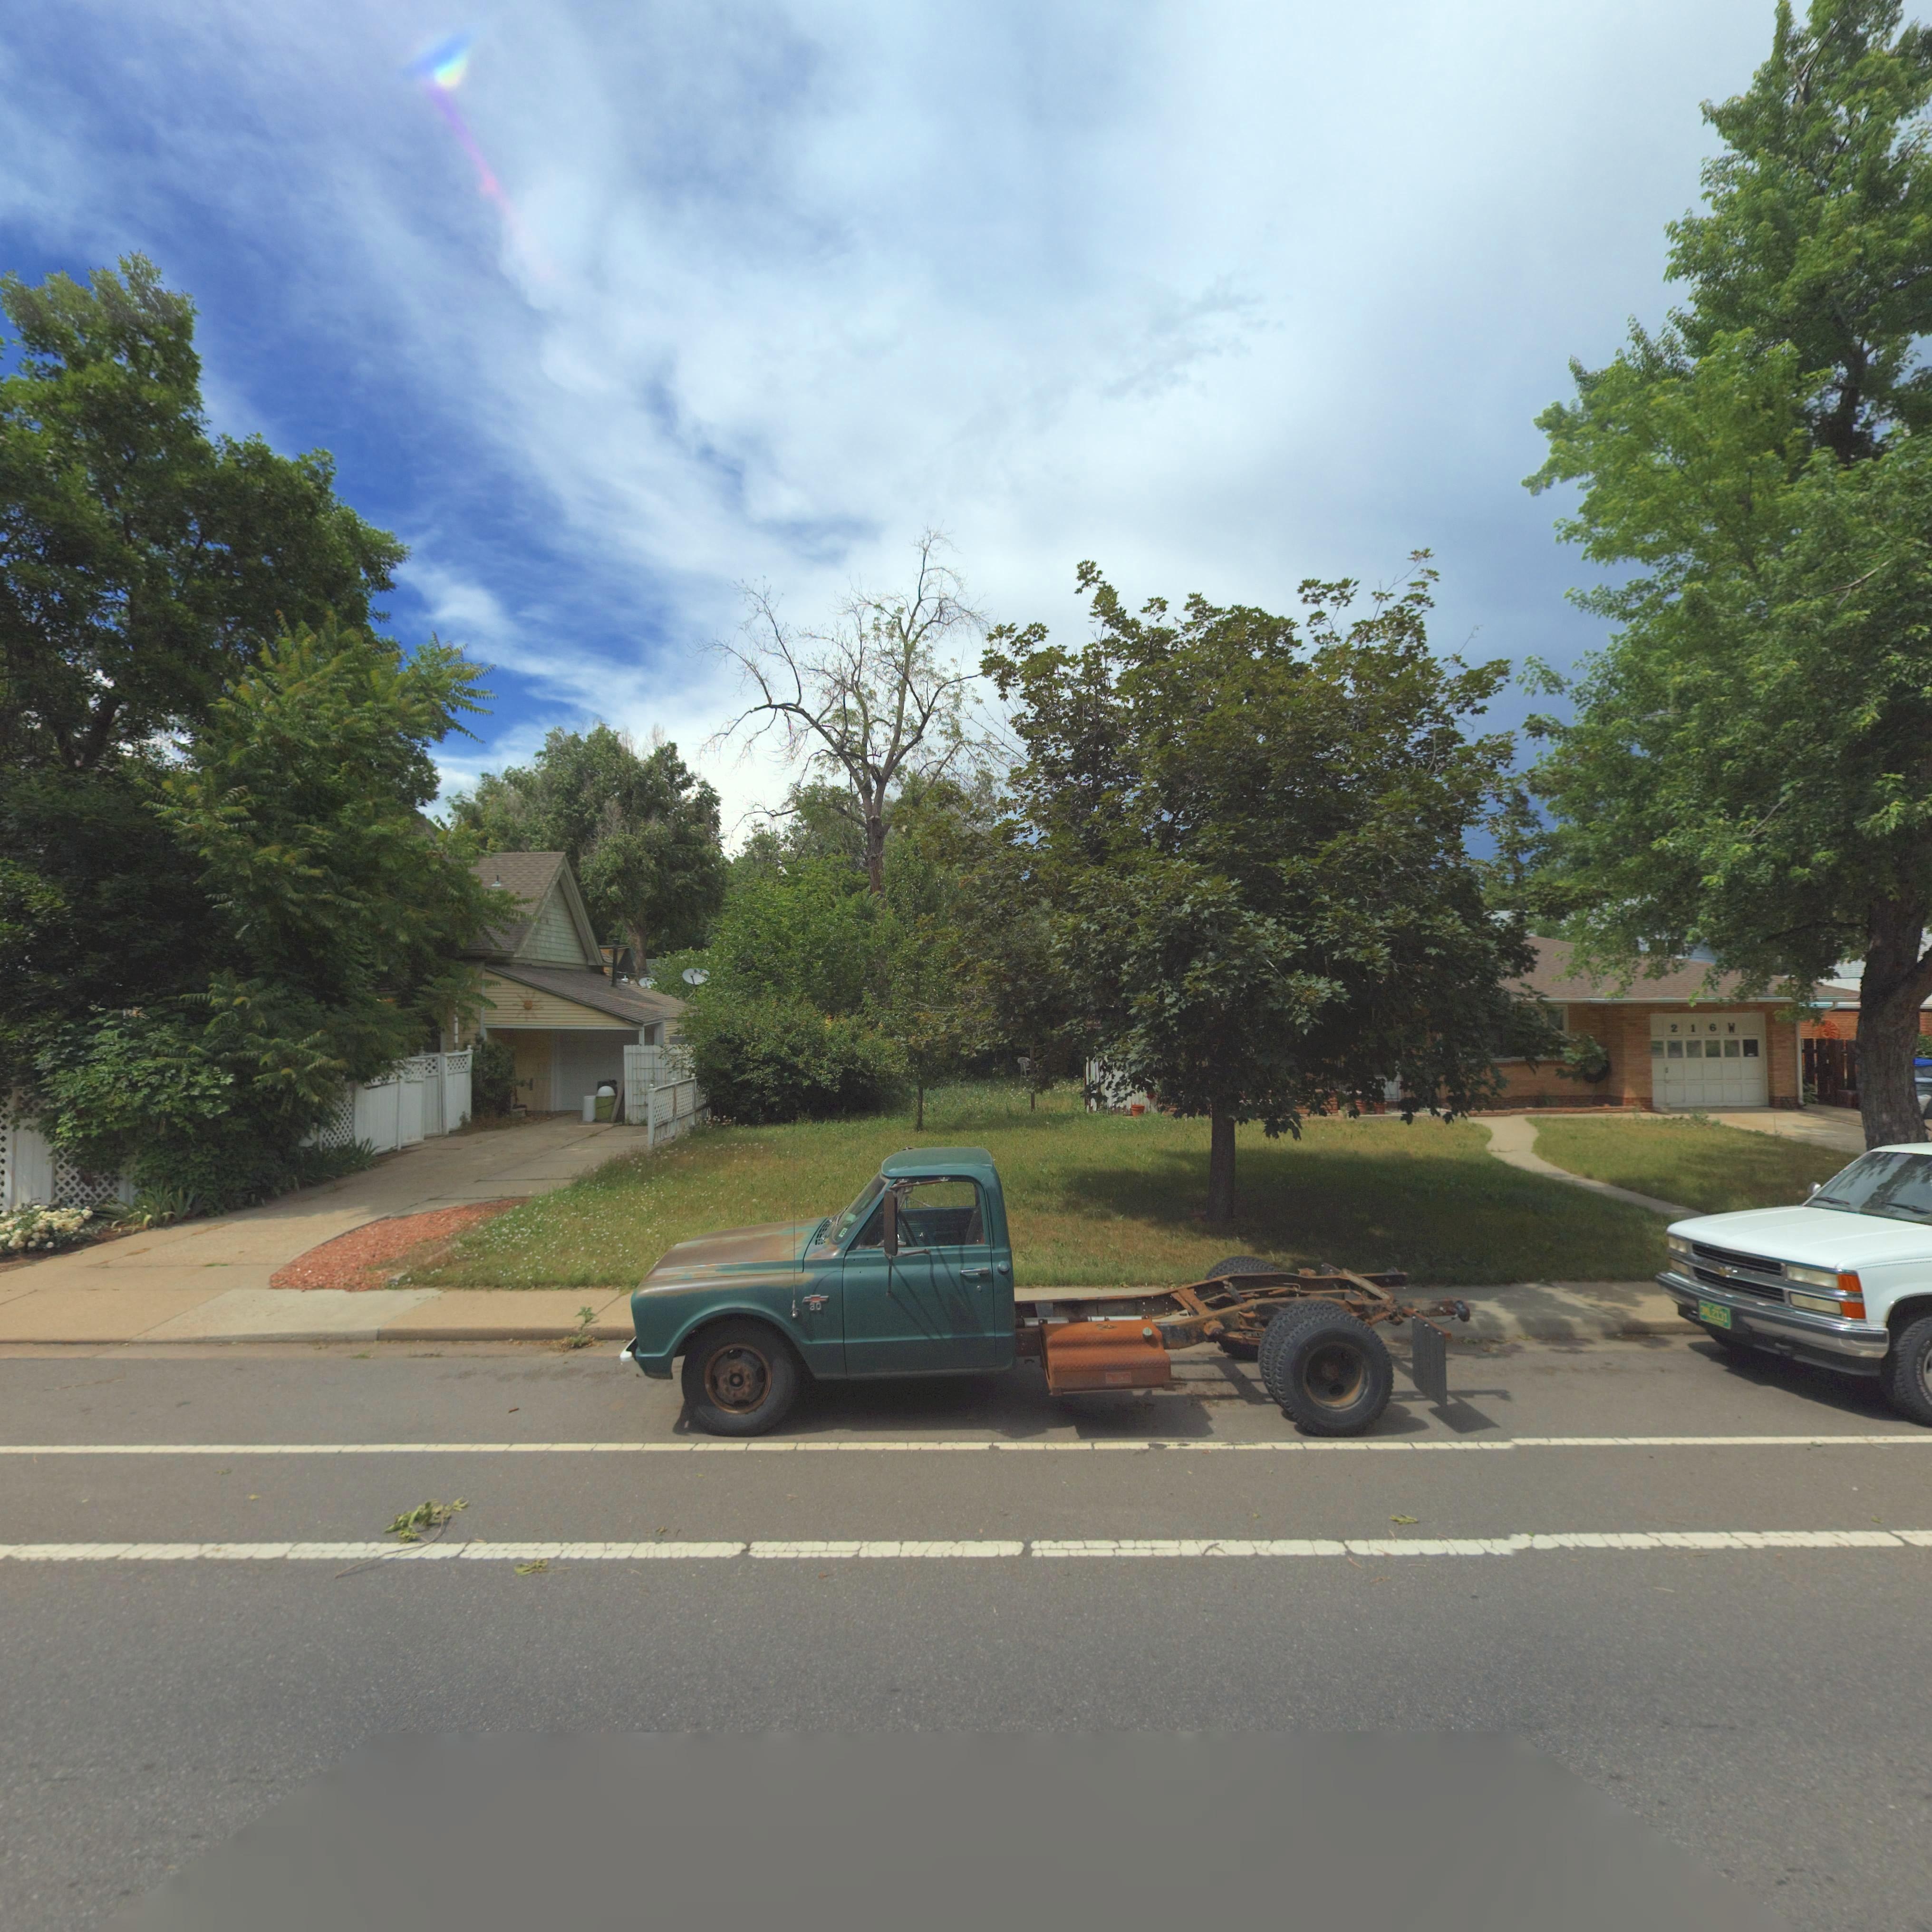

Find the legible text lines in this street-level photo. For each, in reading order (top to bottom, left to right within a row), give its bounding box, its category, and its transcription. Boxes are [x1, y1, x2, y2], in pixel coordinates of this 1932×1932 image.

[1668, 1022, 1717, 1033] StreetNumber: 216